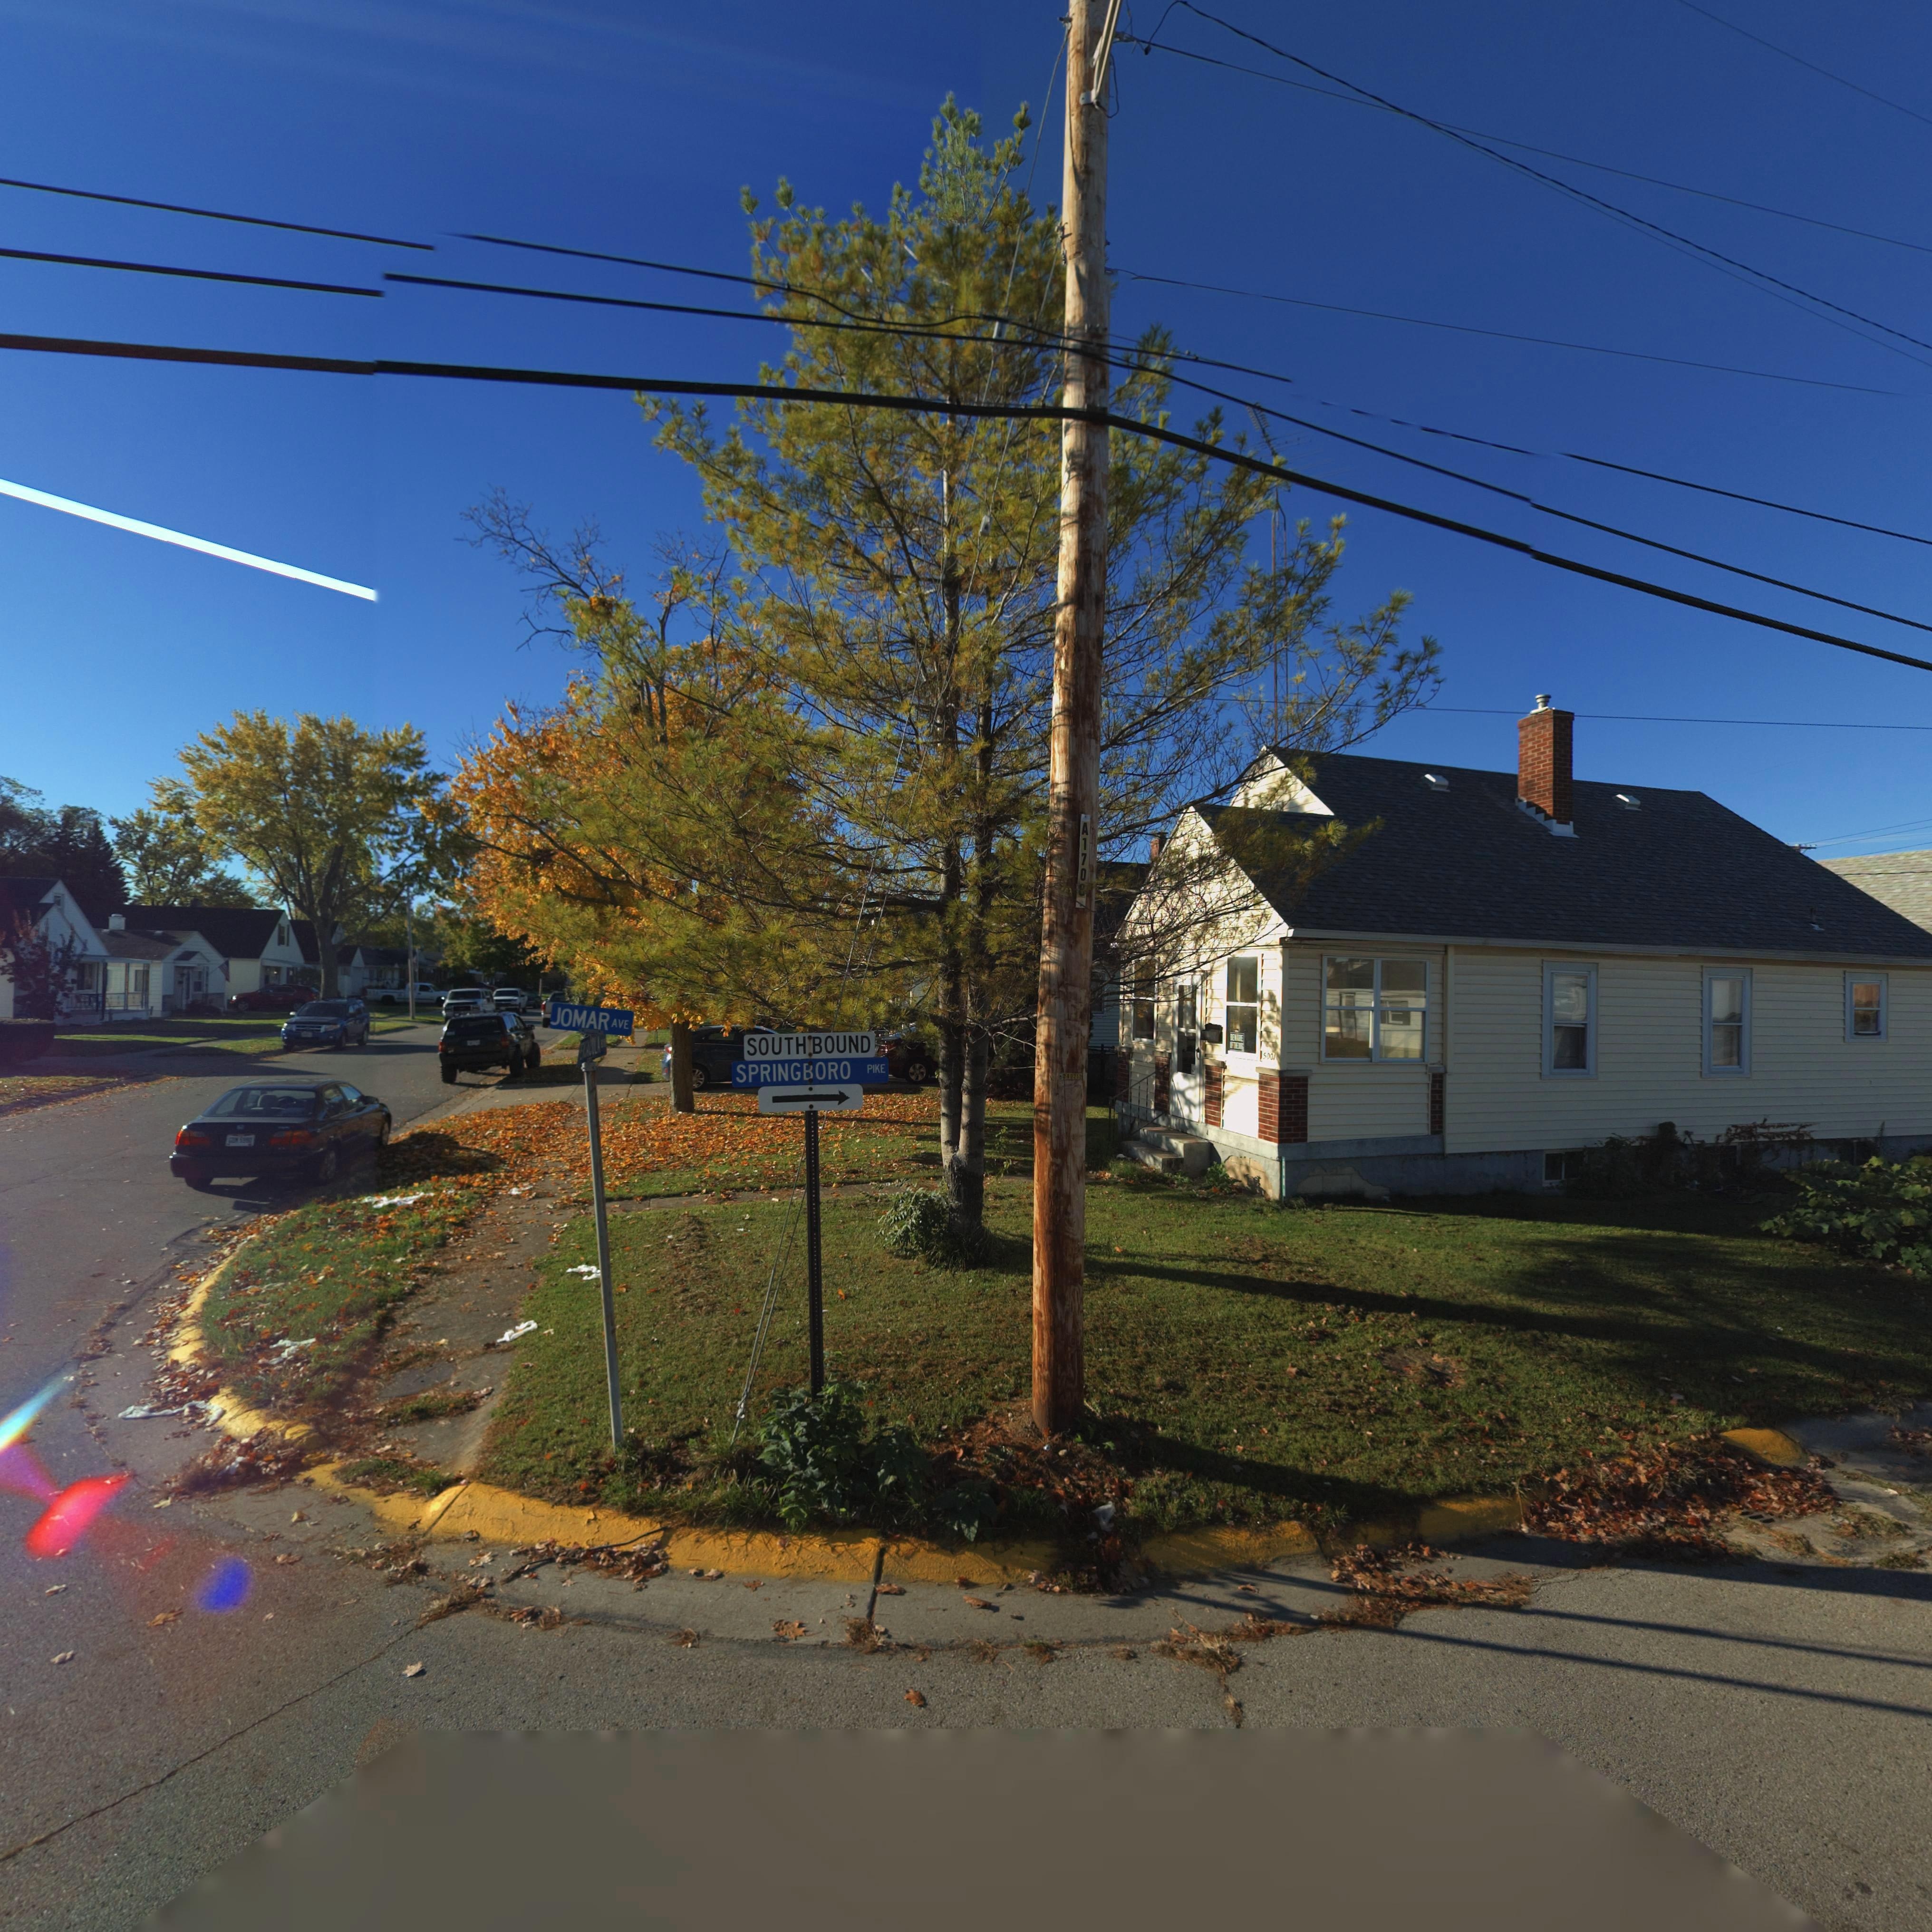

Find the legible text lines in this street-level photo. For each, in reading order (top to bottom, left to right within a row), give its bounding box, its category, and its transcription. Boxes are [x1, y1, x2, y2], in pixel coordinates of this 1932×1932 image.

[1262, 1052, 1277, 1061] StreetNumber: 5001